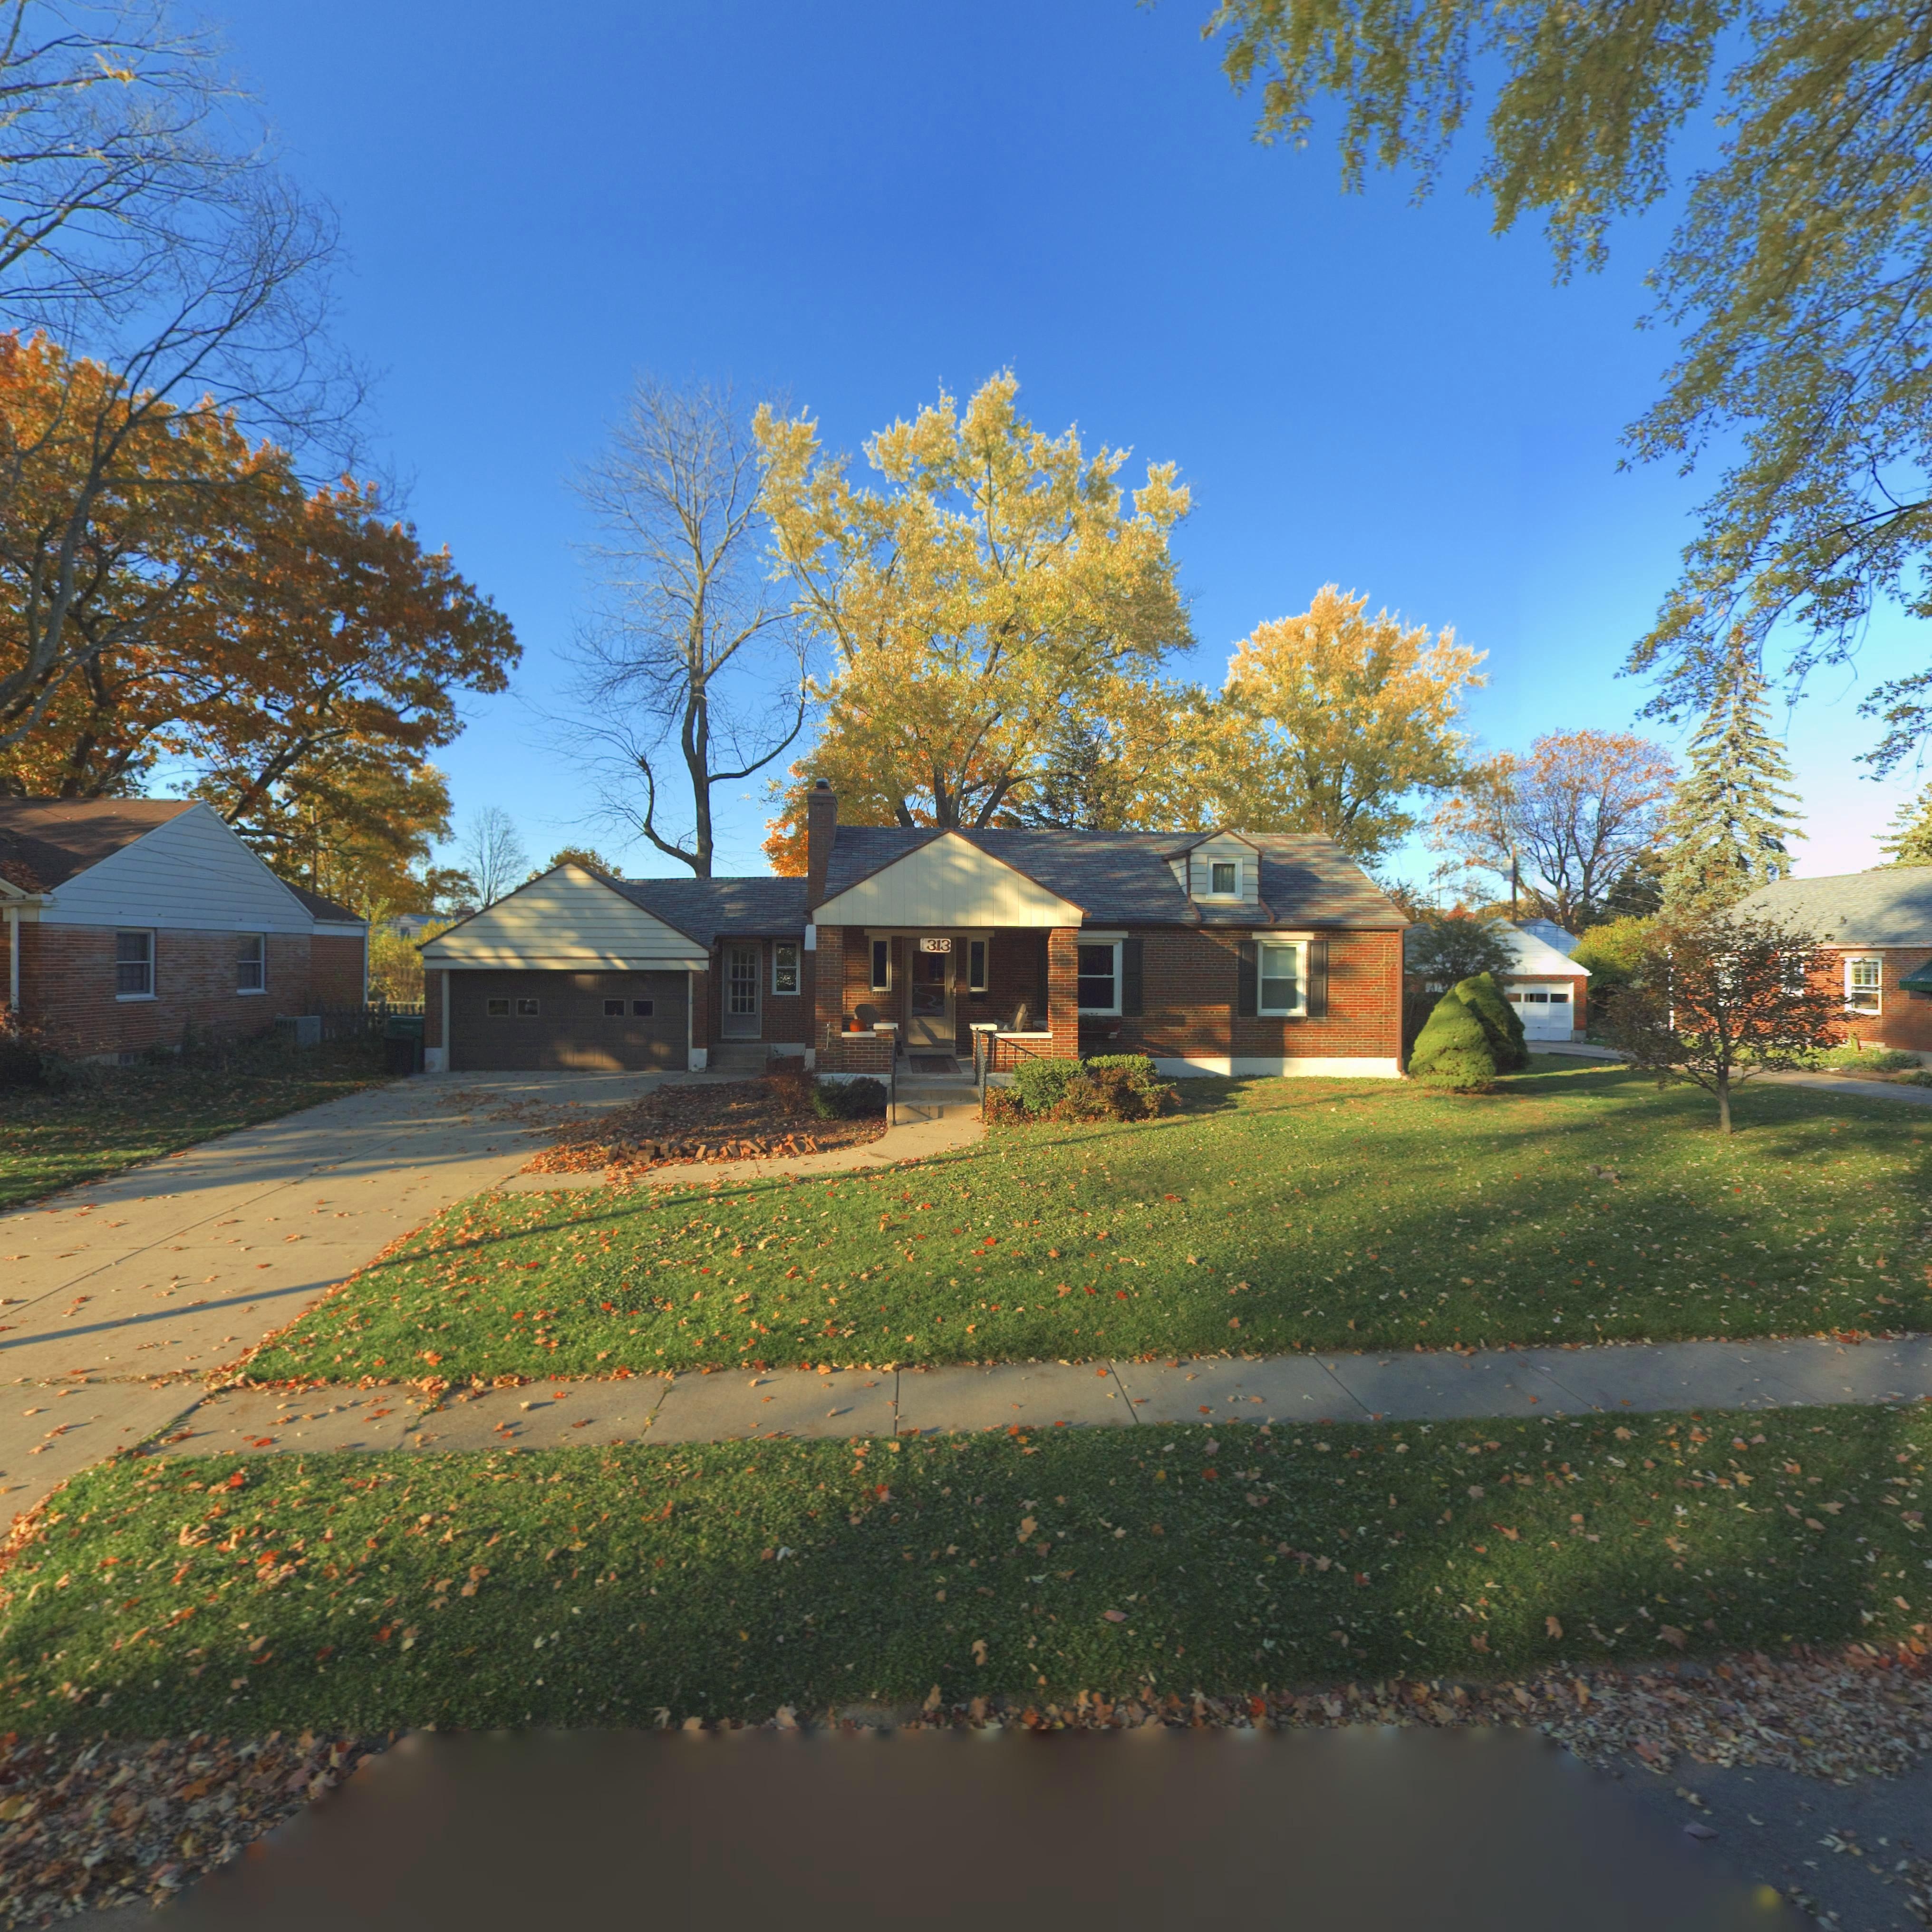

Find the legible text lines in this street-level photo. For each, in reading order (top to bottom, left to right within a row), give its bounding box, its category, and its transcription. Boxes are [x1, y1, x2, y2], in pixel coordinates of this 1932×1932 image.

[926, 939, 951, 951] StreetNumber: 313